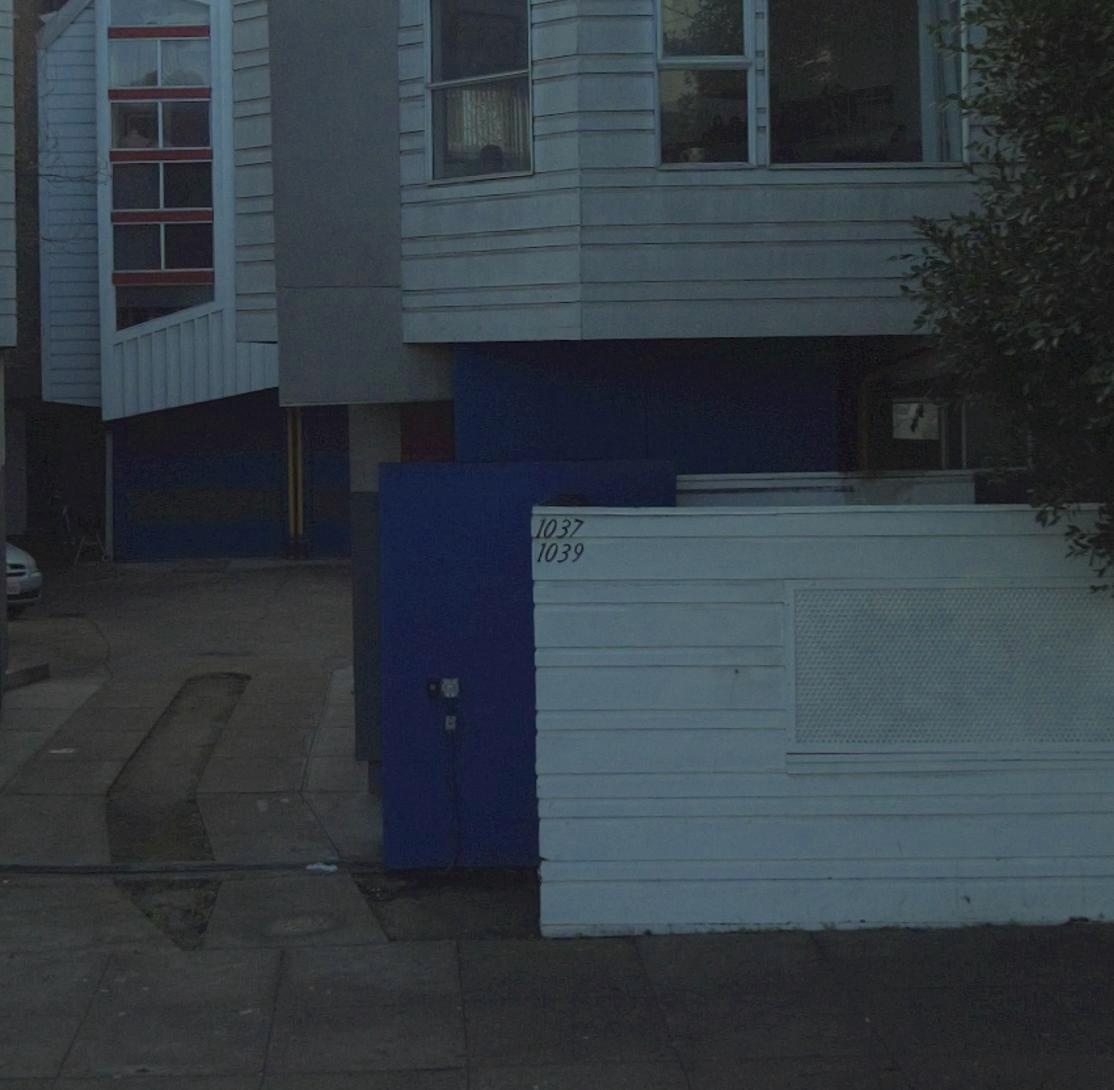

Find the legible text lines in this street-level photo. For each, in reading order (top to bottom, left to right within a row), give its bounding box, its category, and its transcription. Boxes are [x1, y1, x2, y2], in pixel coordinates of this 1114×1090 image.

[529, 515, 593, 540] StreetNumber: 1037
[532, 538, 589, 566] StreetNumber: 1039